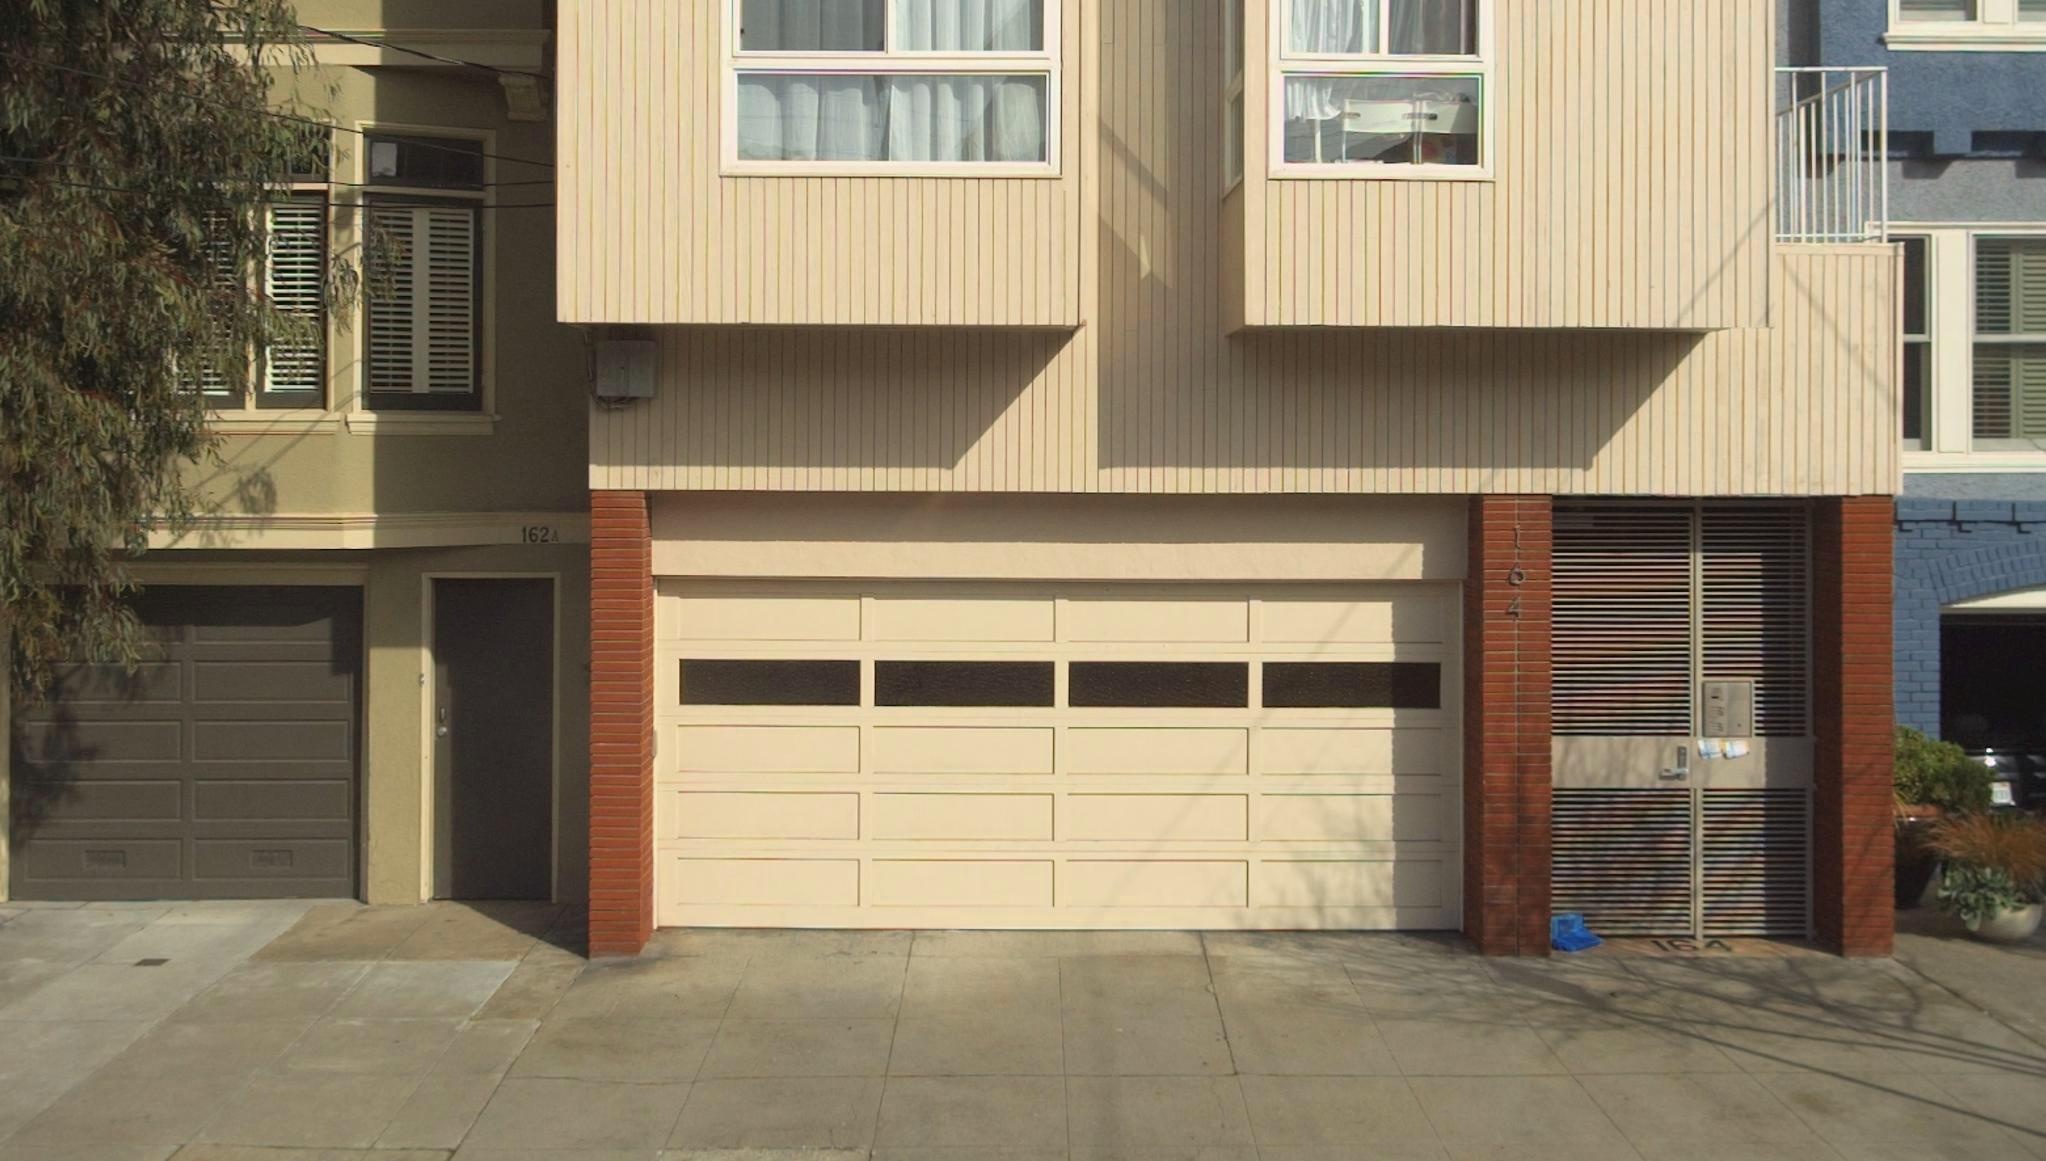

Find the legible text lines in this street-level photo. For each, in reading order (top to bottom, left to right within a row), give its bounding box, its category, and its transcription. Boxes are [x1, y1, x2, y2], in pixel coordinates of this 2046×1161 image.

[520, 524, 560, 545] StreetNumber: 162A
[1503, 523, 1527, 622] StreetNumber: 164
[1642, 937, 1742, 955] StreetNumber: 164